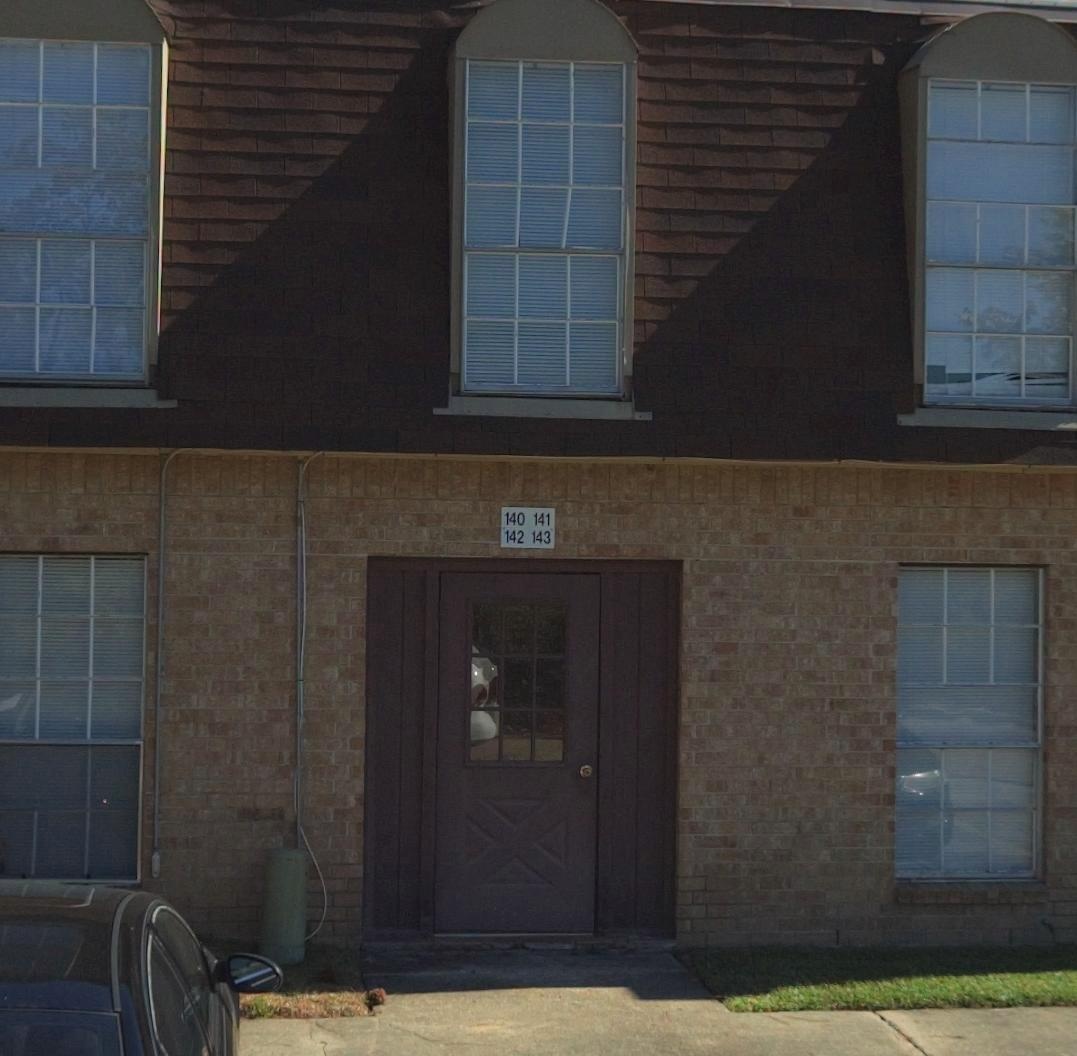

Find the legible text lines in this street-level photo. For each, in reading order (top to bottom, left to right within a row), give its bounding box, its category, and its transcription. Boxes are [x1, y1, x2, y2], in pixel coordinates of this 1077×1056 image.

[503, 510, 528, 528] StreetNumber: 140
[529, 510, 553, 528] StreetNumber: 141
[503, 528, 528, 546] StreetNumber: 142
[529, 528, 553, 546] StreetNumber: 143